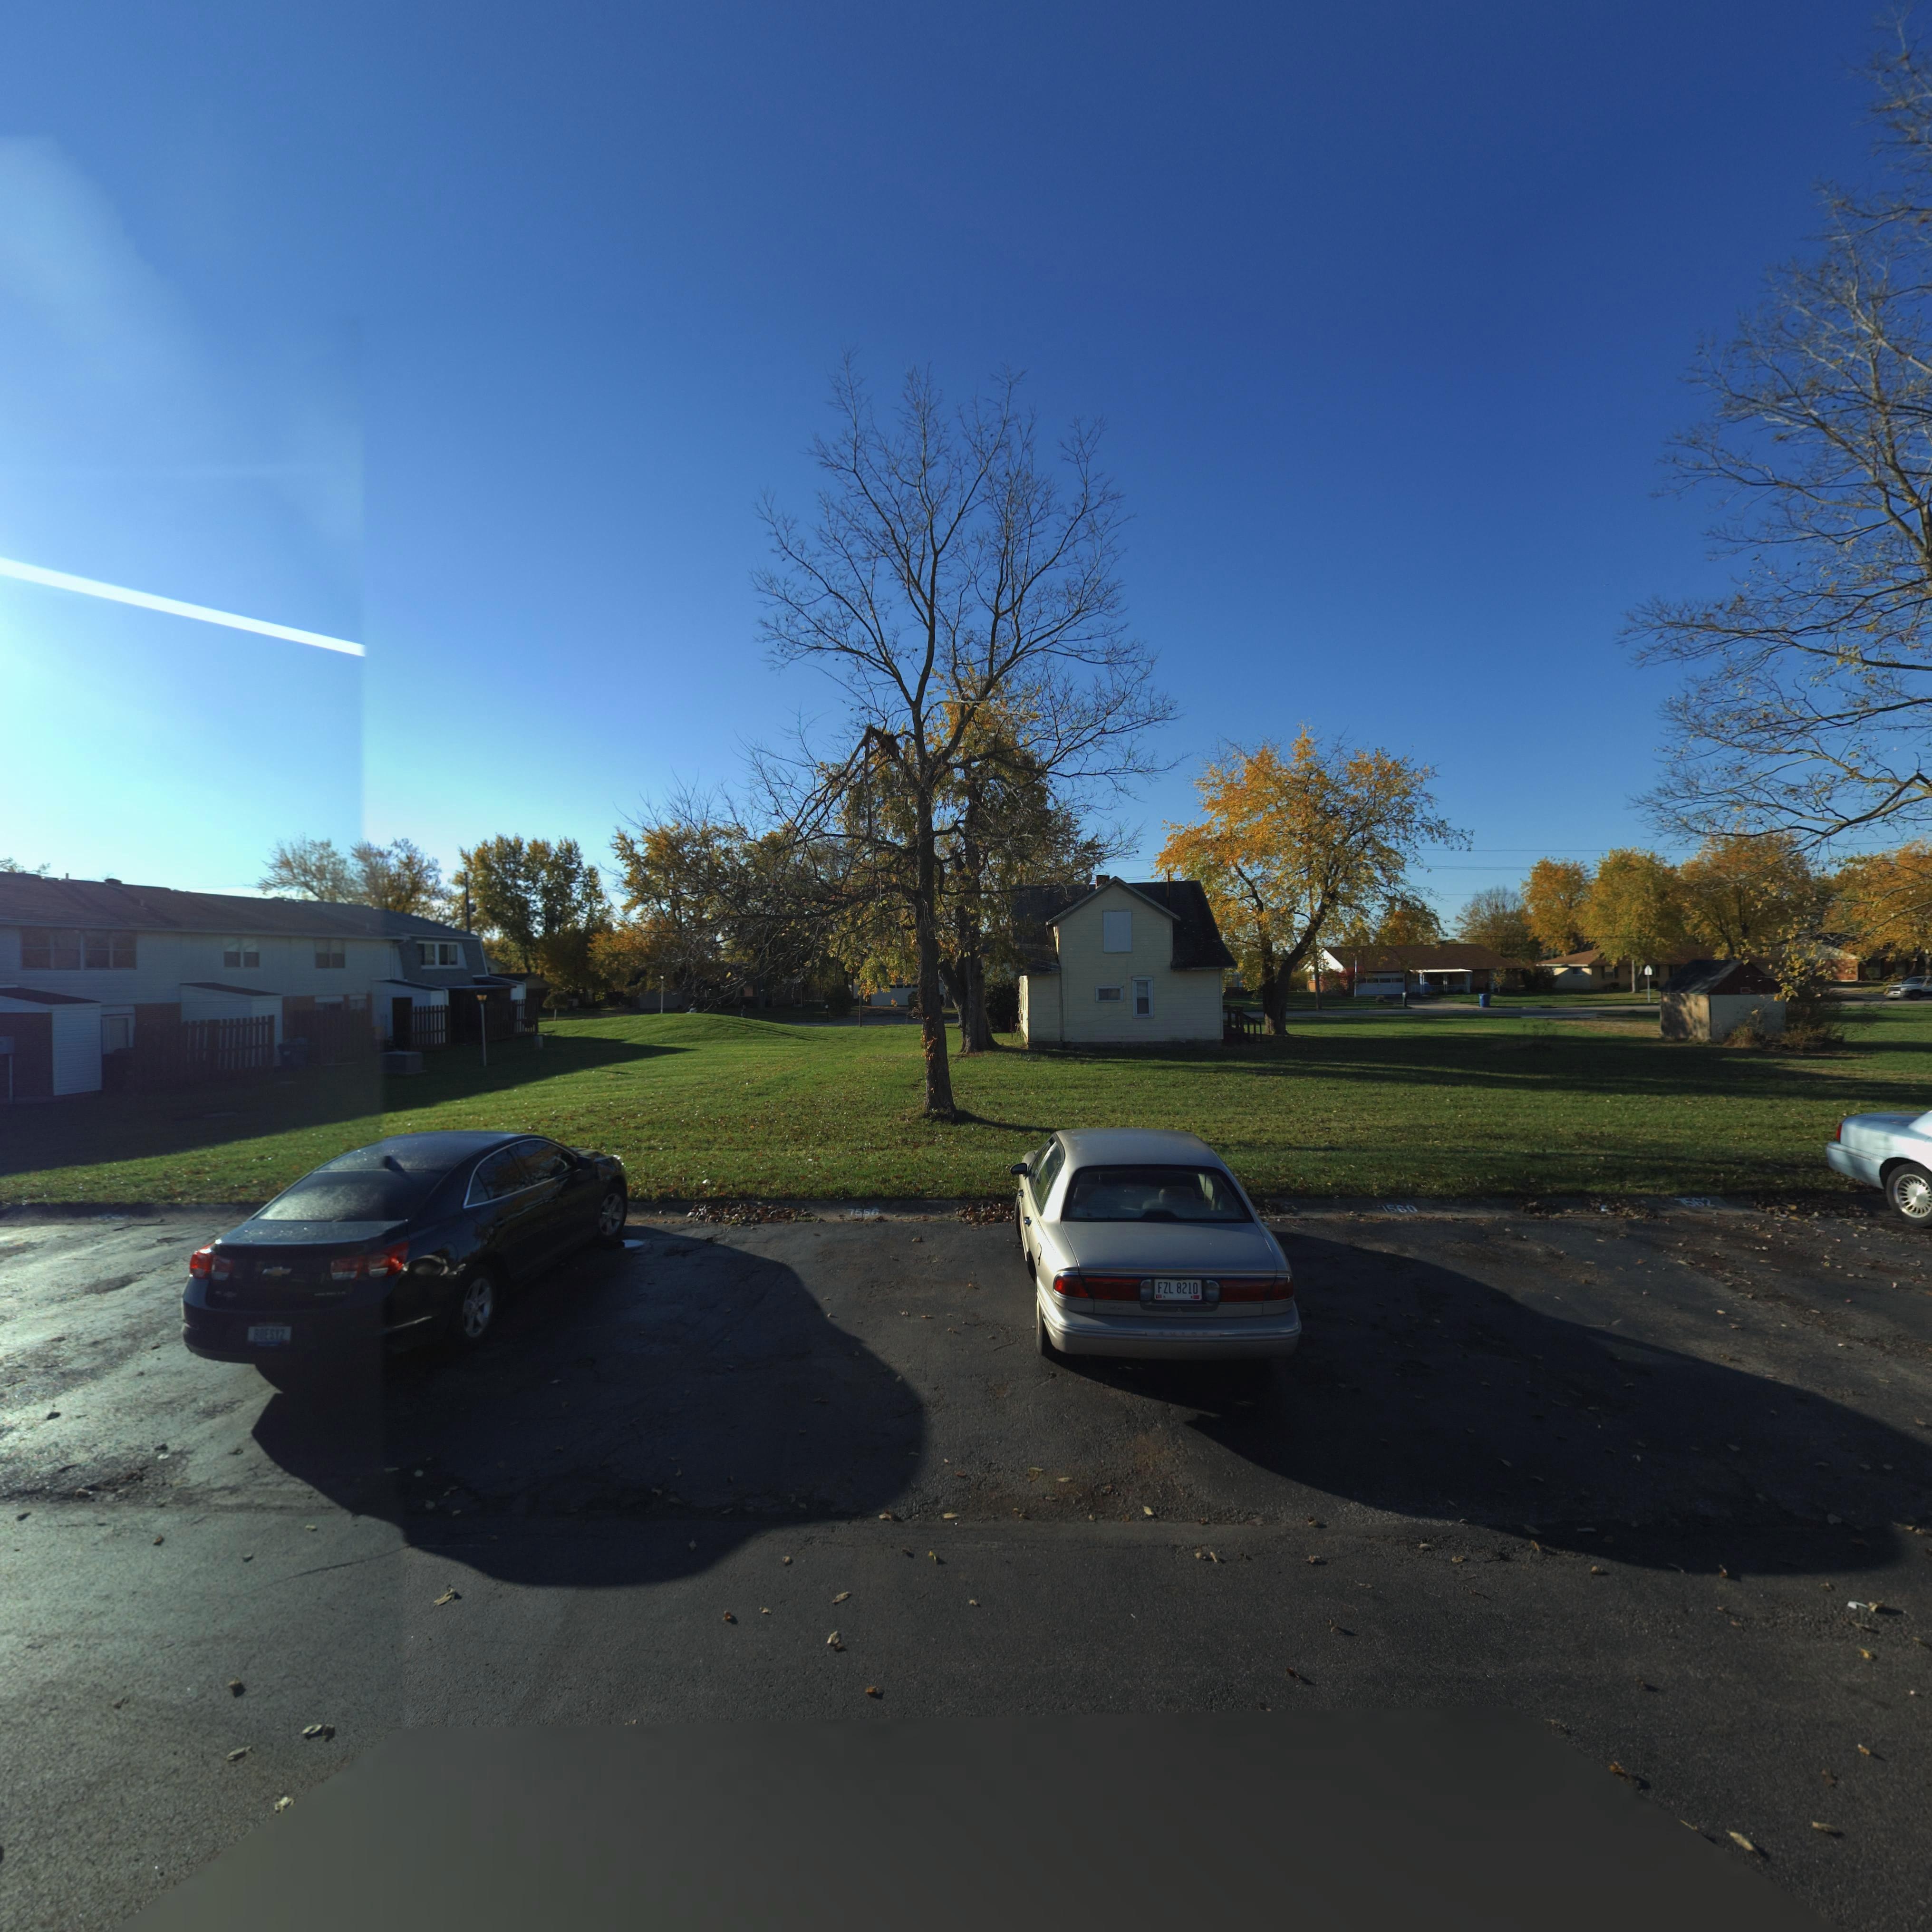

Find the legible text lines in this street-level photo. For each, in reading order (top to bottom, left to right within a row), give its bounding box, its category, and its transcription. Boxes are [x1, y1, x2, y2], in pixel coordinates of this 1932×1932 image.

[845, 1207, 881, 1217] StreetNumber: 7556
[1375, 1203, 1420, 1215] StreetNumber: *560
[1673, 1196, 1717, 1210] StreetNumber: 7562
[1156, 1281, 1200, 1298] None: FZL 8210